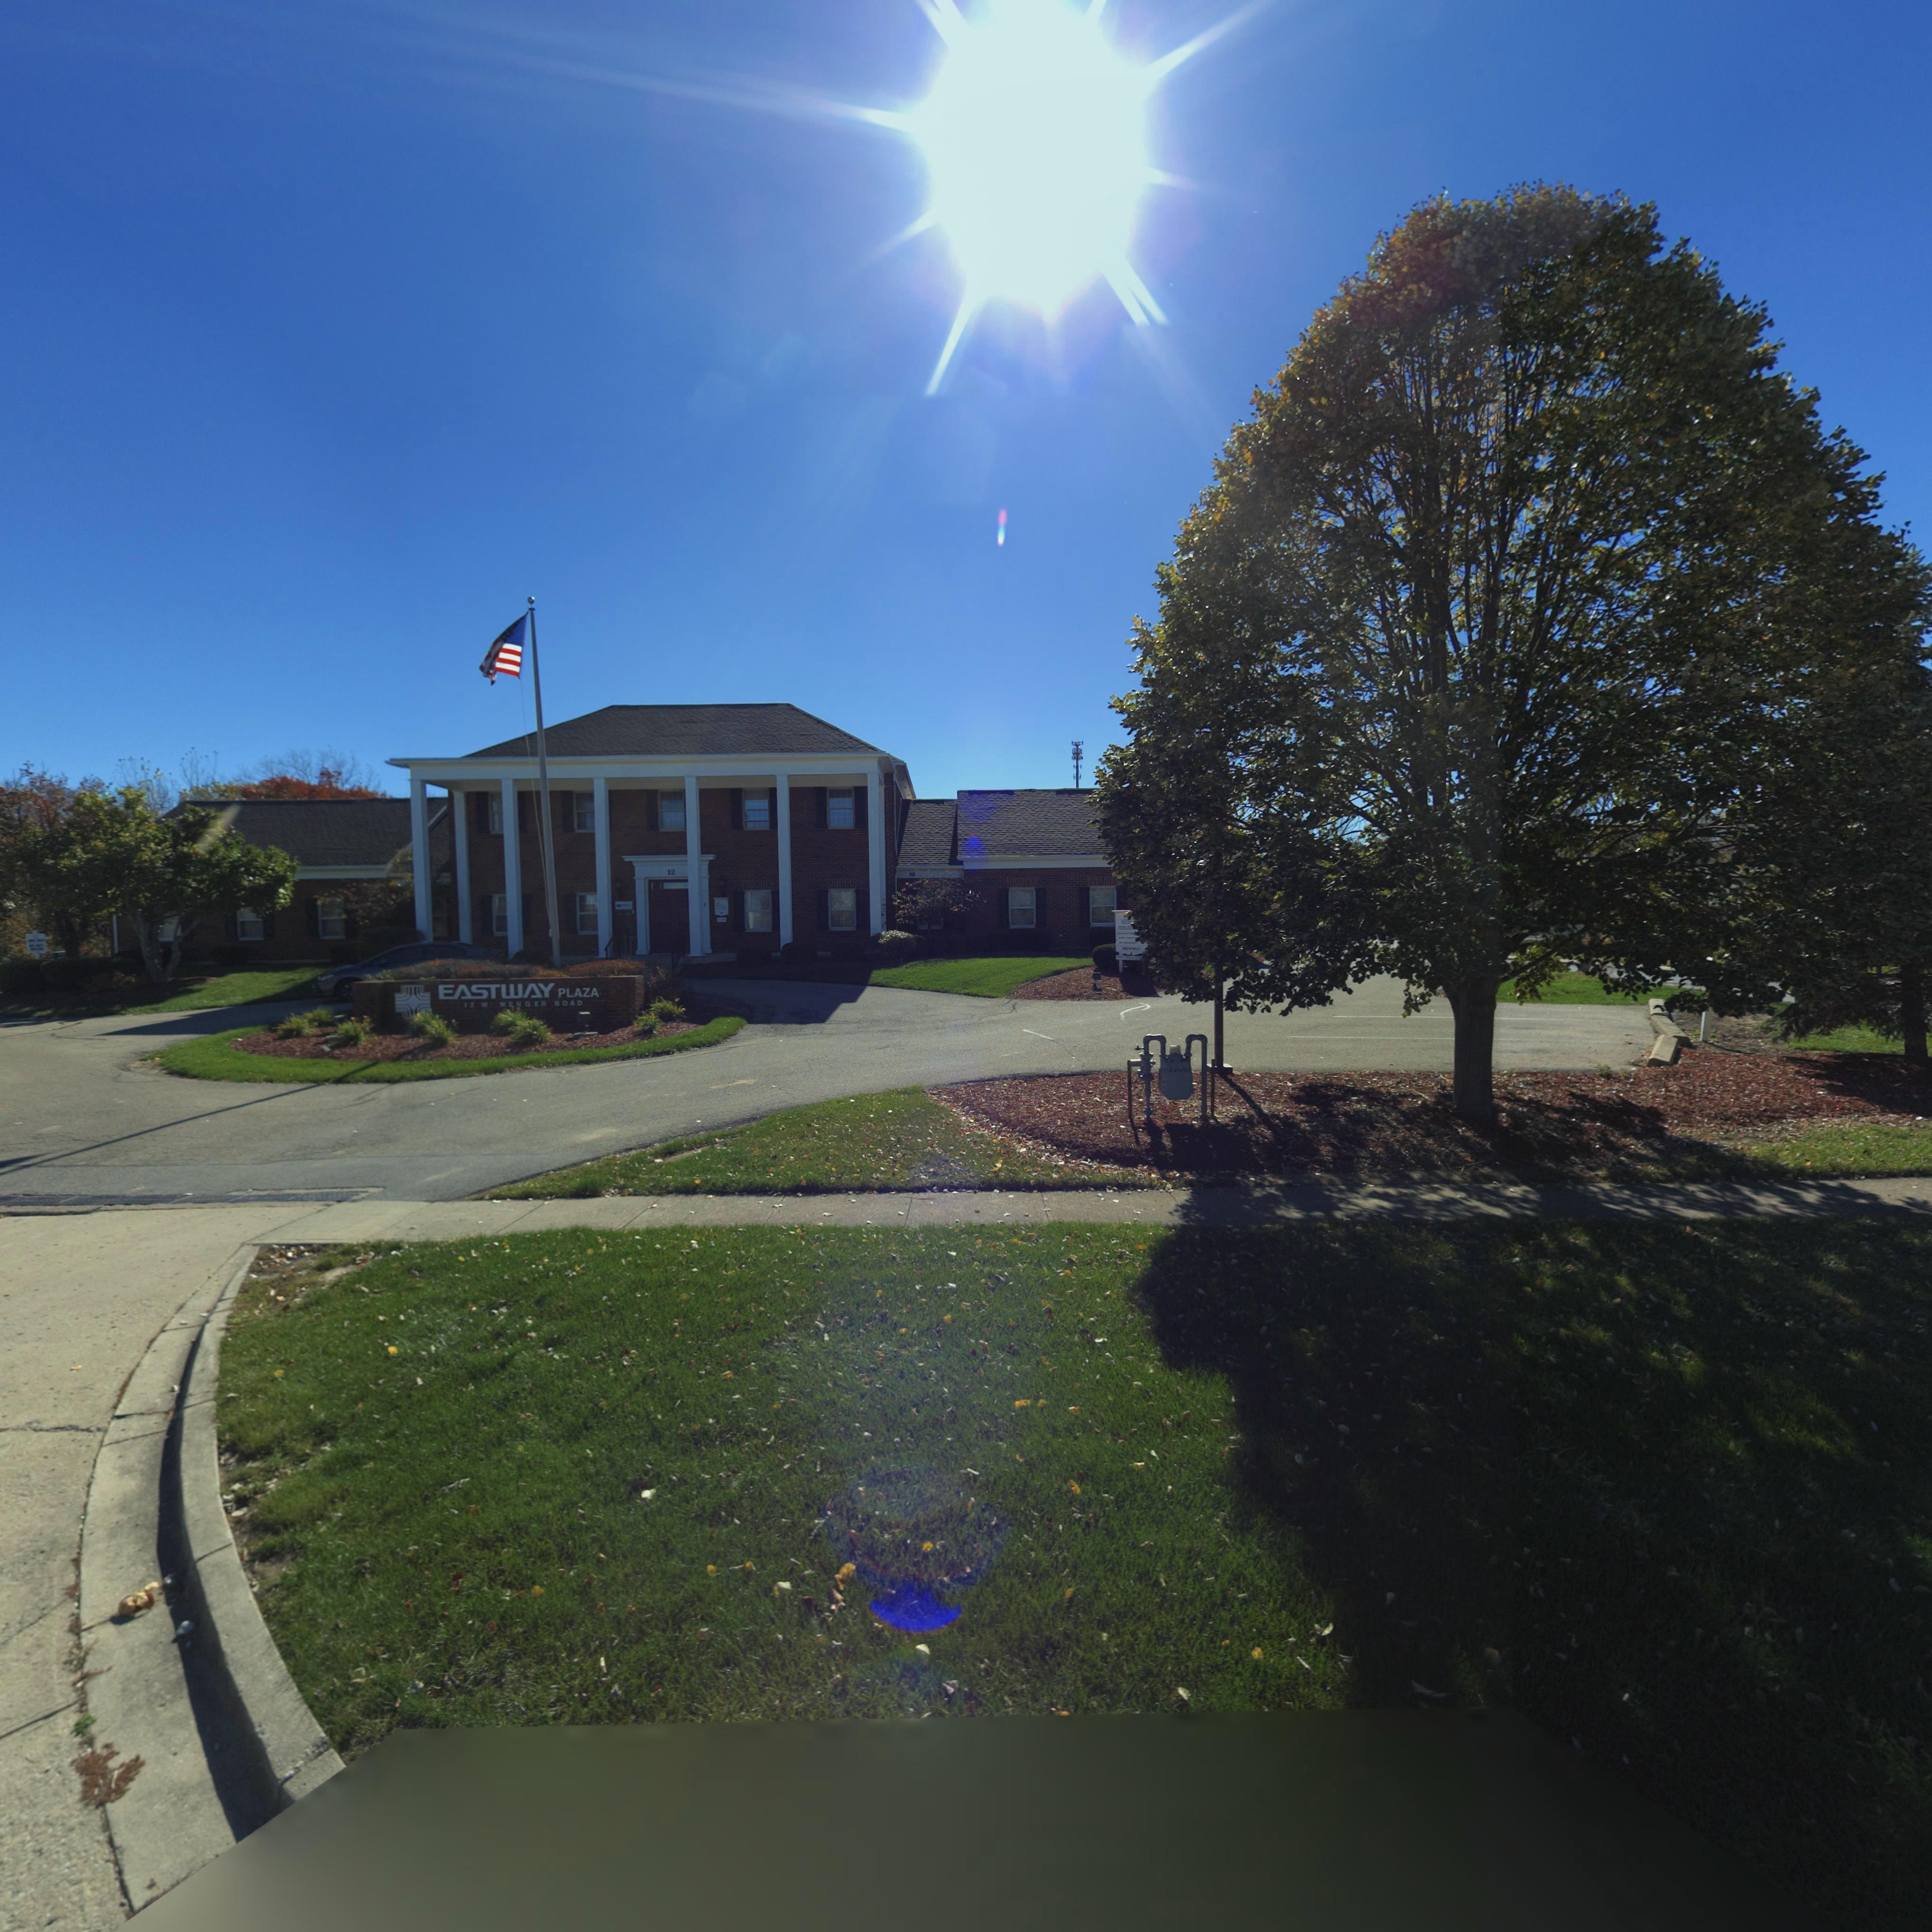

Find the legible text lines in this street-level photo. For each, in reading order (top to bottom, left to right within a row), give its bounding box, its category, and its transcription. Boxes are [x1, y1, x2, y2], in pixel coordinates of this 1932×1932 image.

[667, 868, 676, 876] StreetNumber: 12
[437, 982, 601, 1001] BusinessName: EASTWAY PLAZA
[463, 1001, 475, 1009] StreetNumber: 12
[480, 1000, 583, 1008] StreetName: W WENGER ROAD